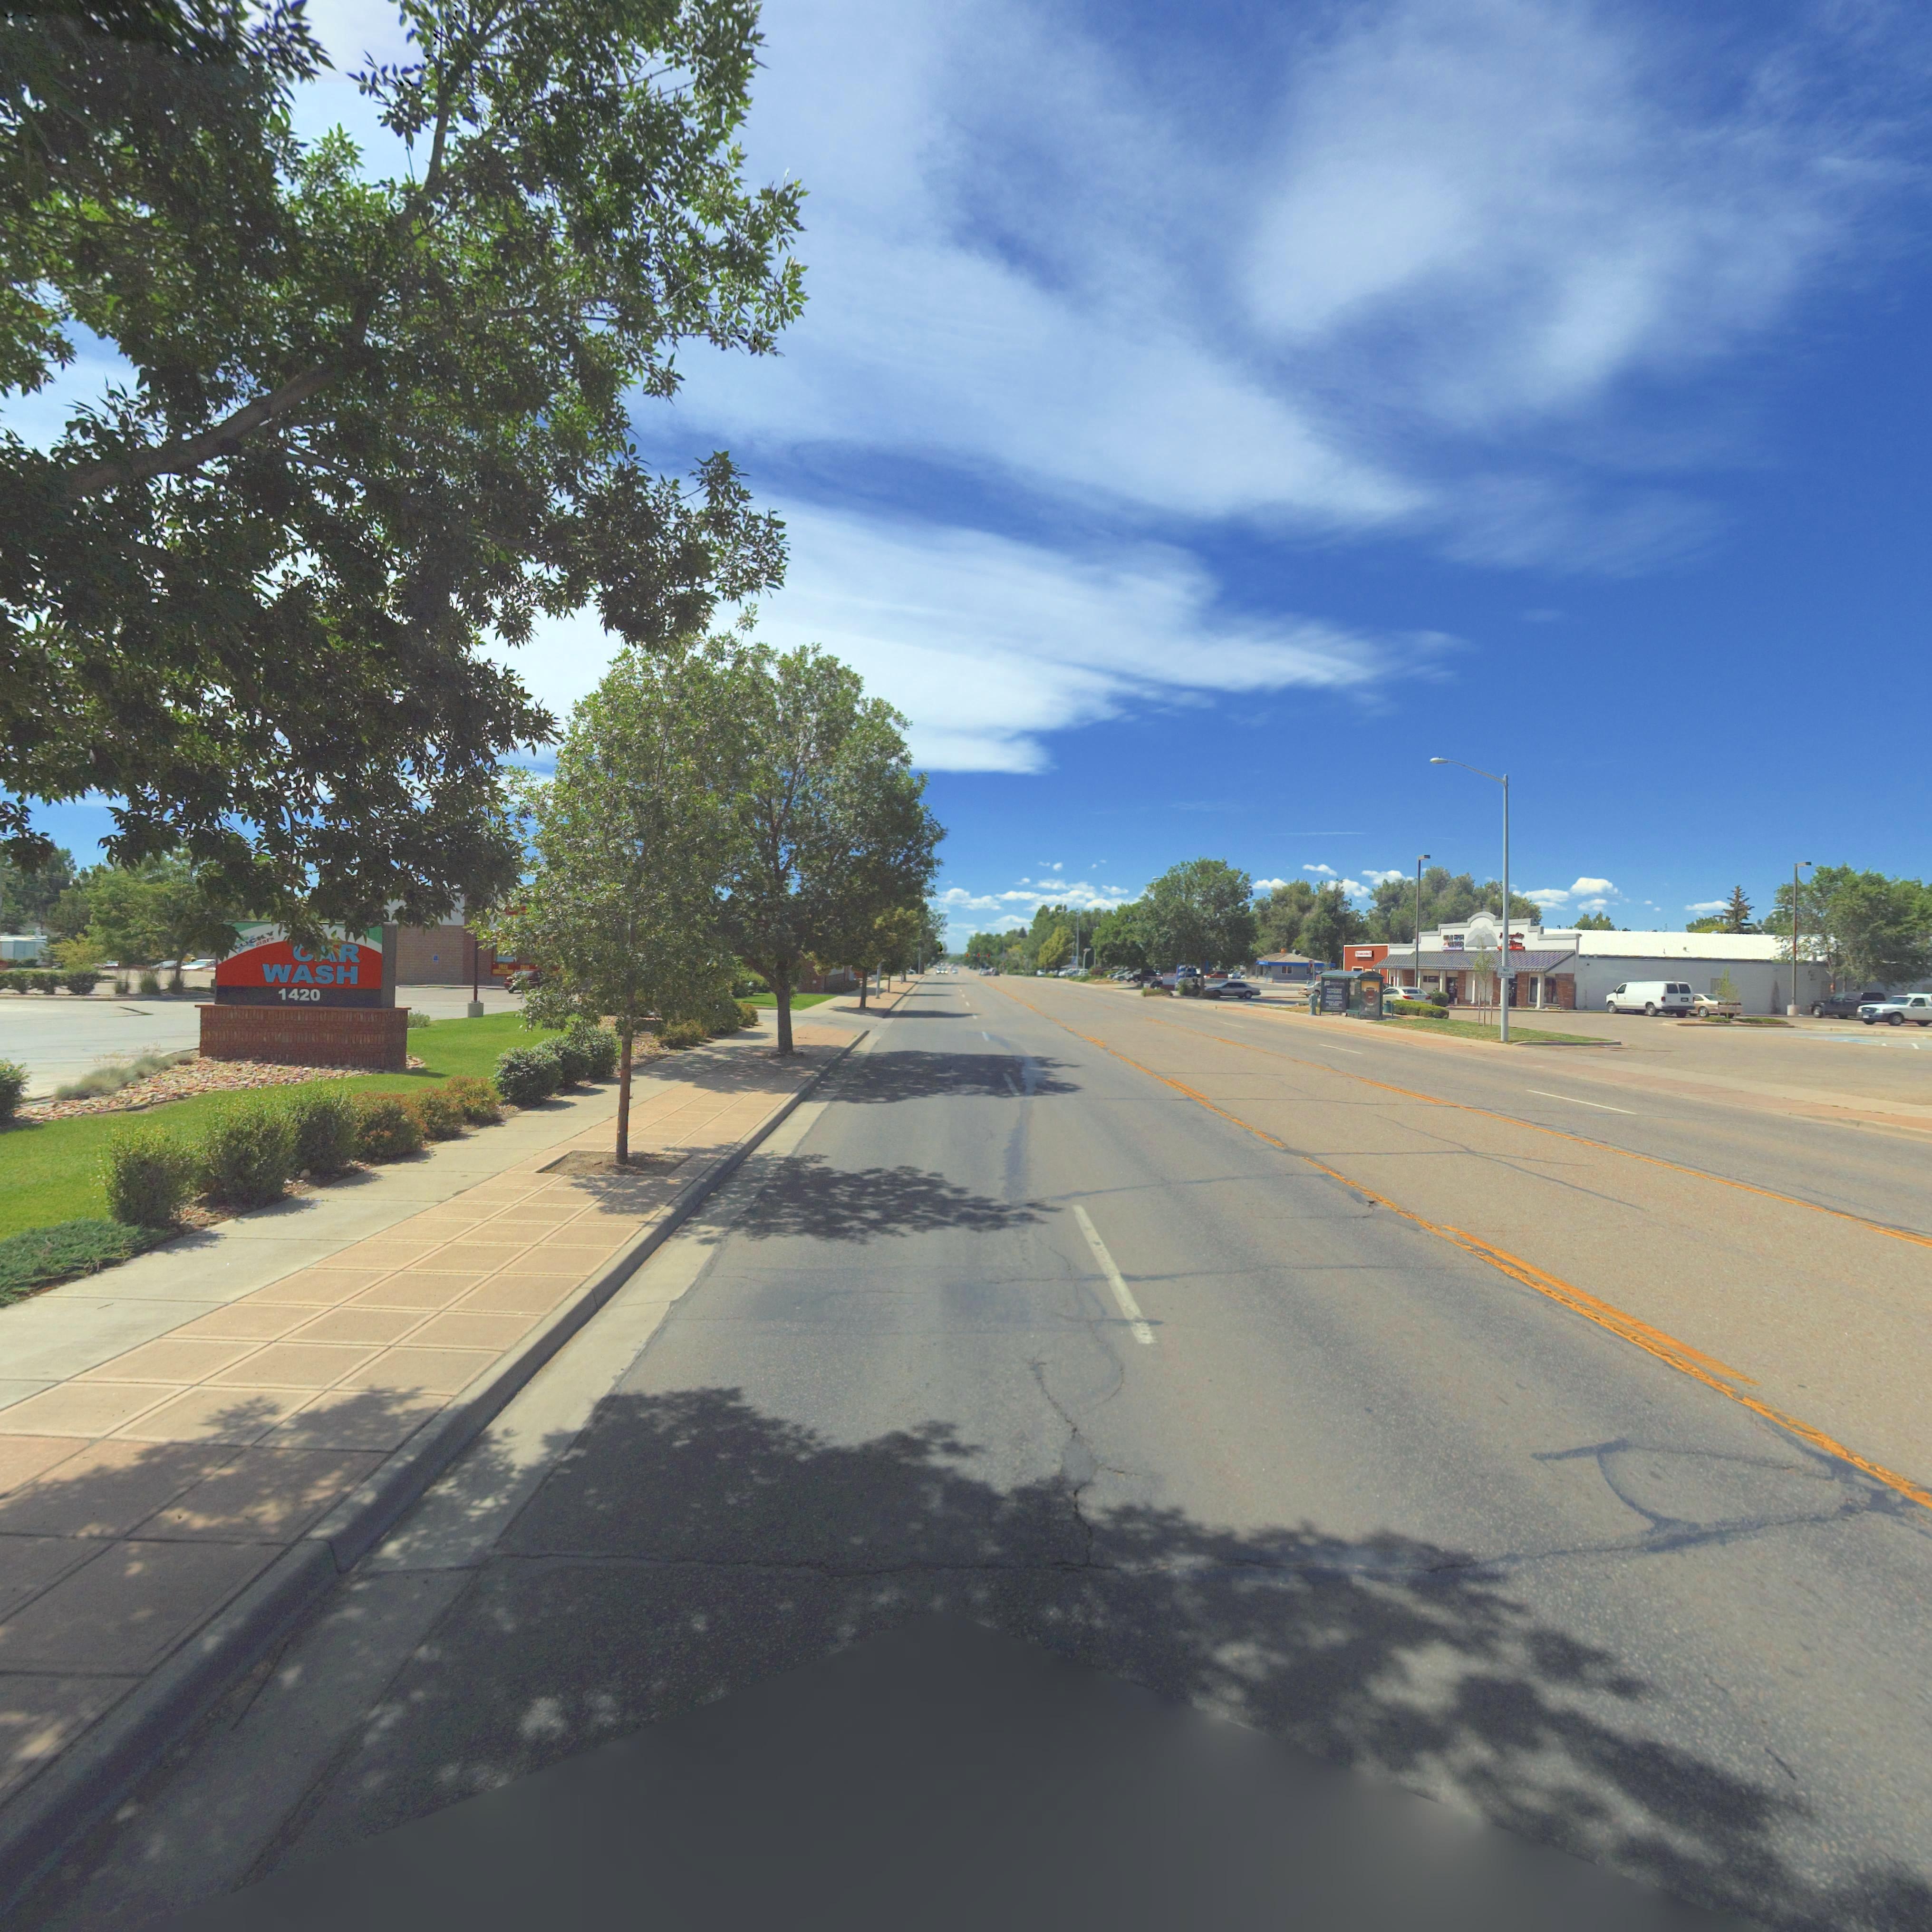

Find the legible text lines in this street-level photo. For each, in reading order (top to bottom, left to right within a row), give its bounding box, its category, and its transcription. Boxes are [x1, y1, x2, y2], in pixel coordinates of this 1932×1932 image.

[233, 929, 274, 950] BusinessName: LUCKY
[255, 936, 275, 947] BusinessName: s*ars
[292, 941, 361, 963] BusinessName: C*R
[261, 963, 358, 985] BusinessName: WASH
[278, 987, 321, 1001] StreetNumber: 1420